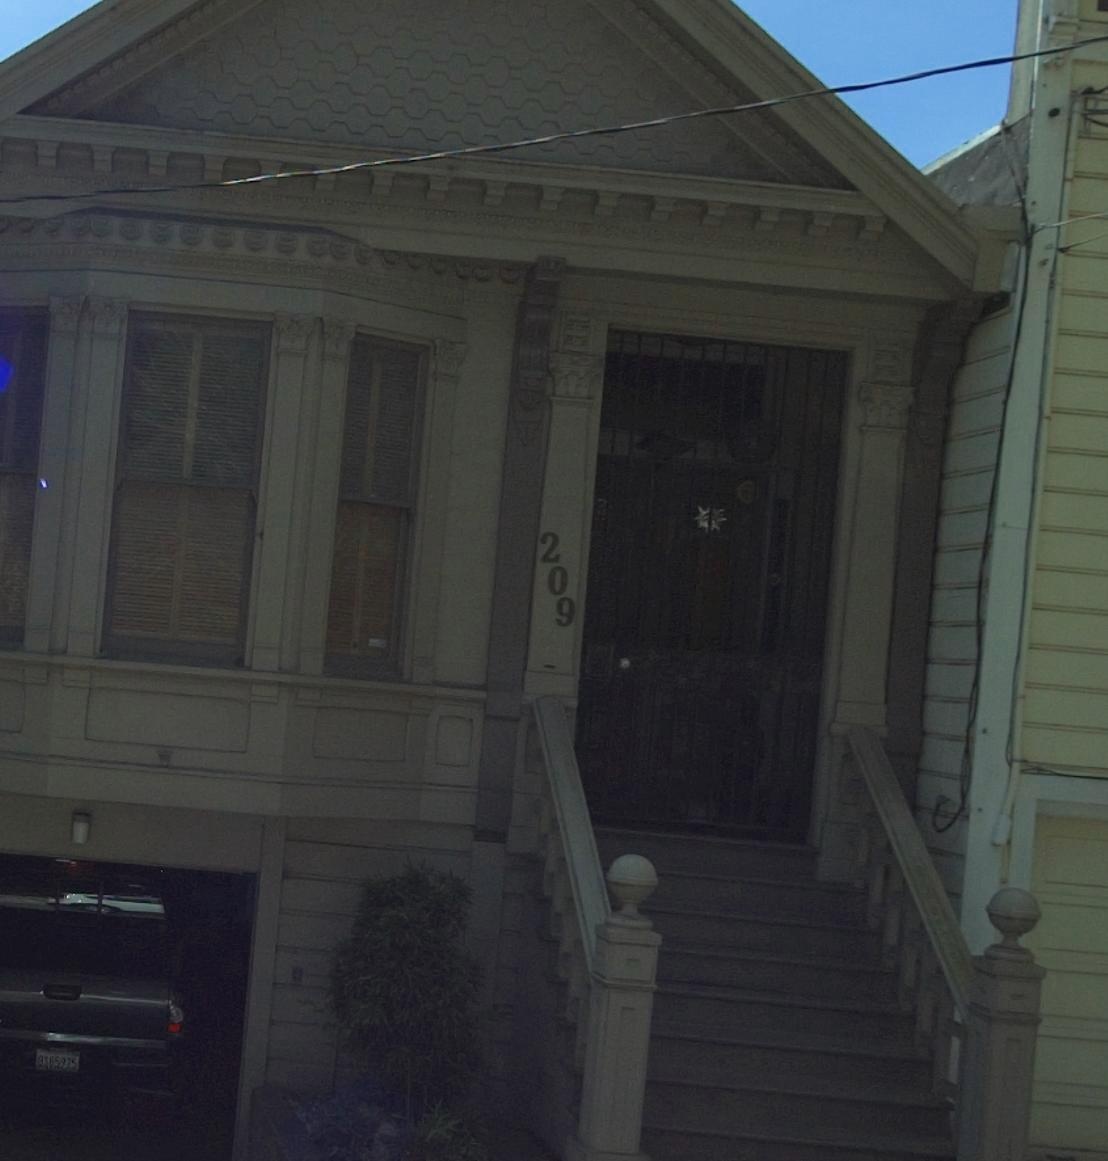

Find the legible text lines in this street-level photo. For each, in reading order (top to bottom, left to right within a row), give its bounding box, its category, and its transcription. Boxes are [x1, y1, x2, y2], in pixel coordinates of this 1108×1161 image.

[535, 530, 576, 631] StreetNumber: 209